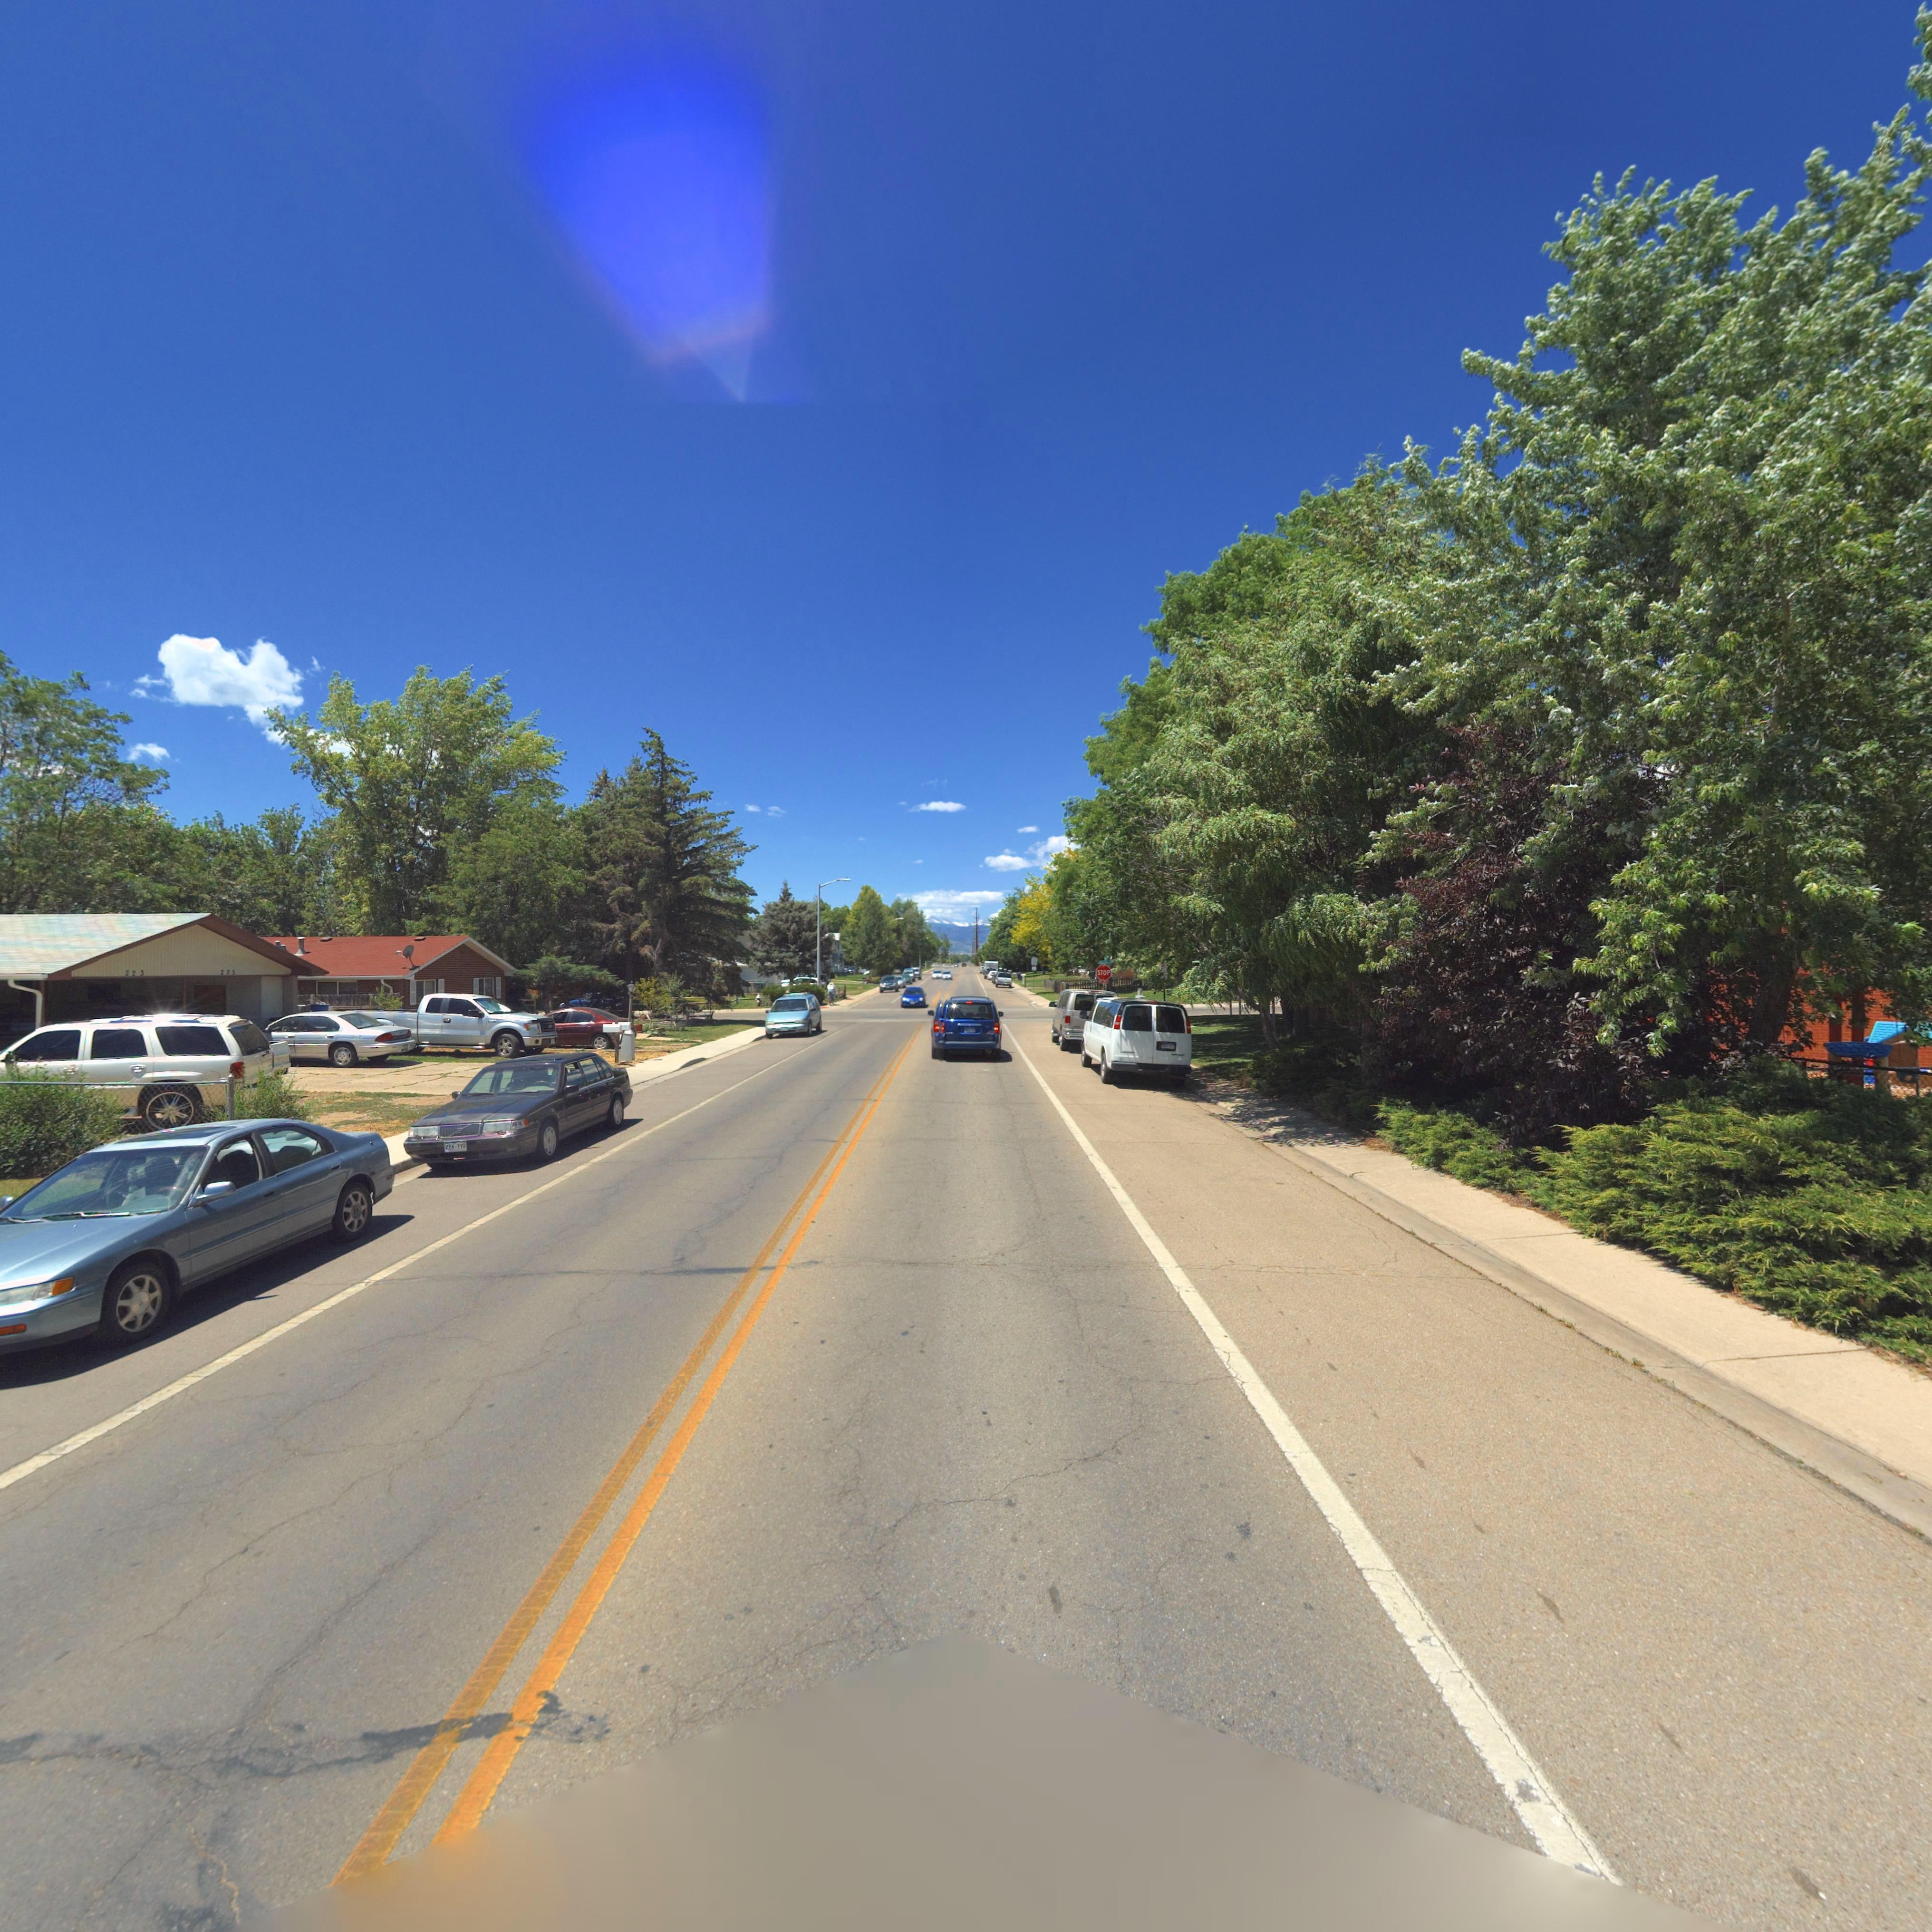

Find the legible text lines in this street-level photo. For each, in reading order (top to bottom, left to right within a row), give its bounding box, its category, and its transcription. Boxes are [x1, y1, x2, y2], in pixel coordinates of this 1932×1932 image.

[124, 969, 145, 976] StreetNumber: 223
[220, 969, 236, 975] StreetNumber: 225